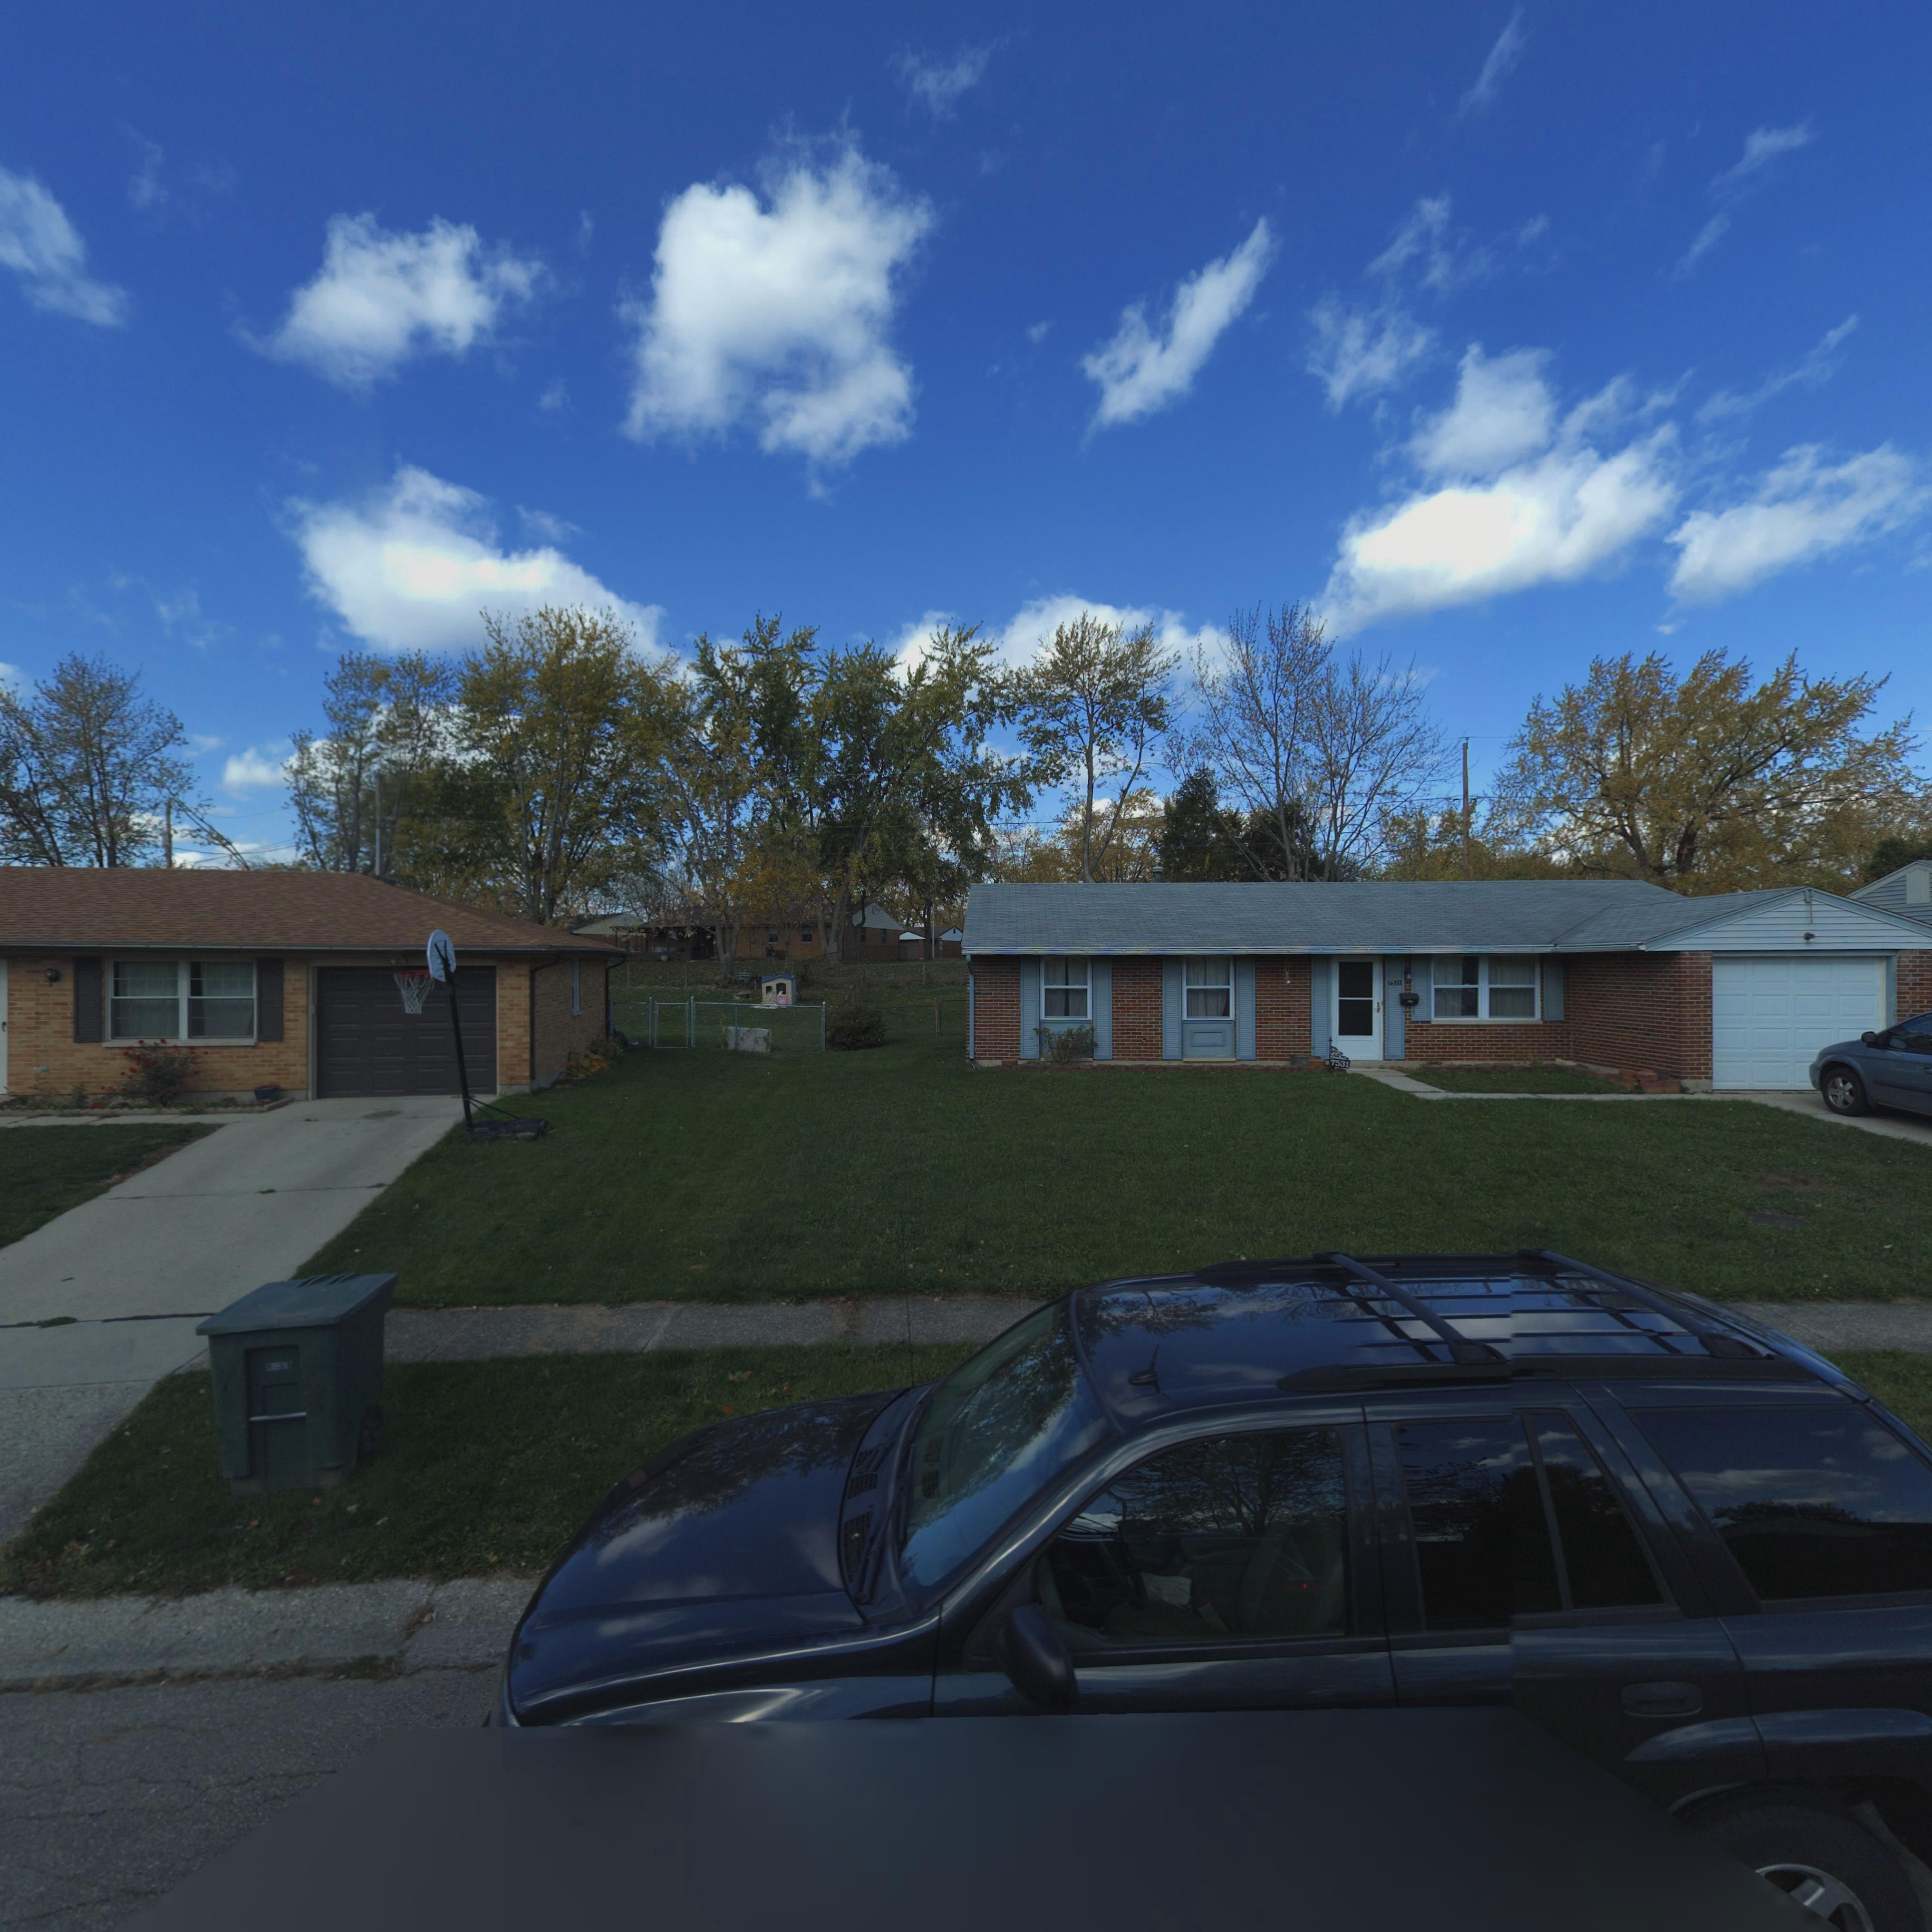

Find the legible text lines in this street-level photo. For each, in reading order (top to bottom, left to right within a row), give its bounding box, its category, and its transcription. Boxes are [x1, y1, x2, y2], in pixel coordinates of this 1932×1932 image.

[1388, 979, 1401, 985] StreetNumber: 7531
[1330, 1059, 1350, 1069] StreetNumber: 7531